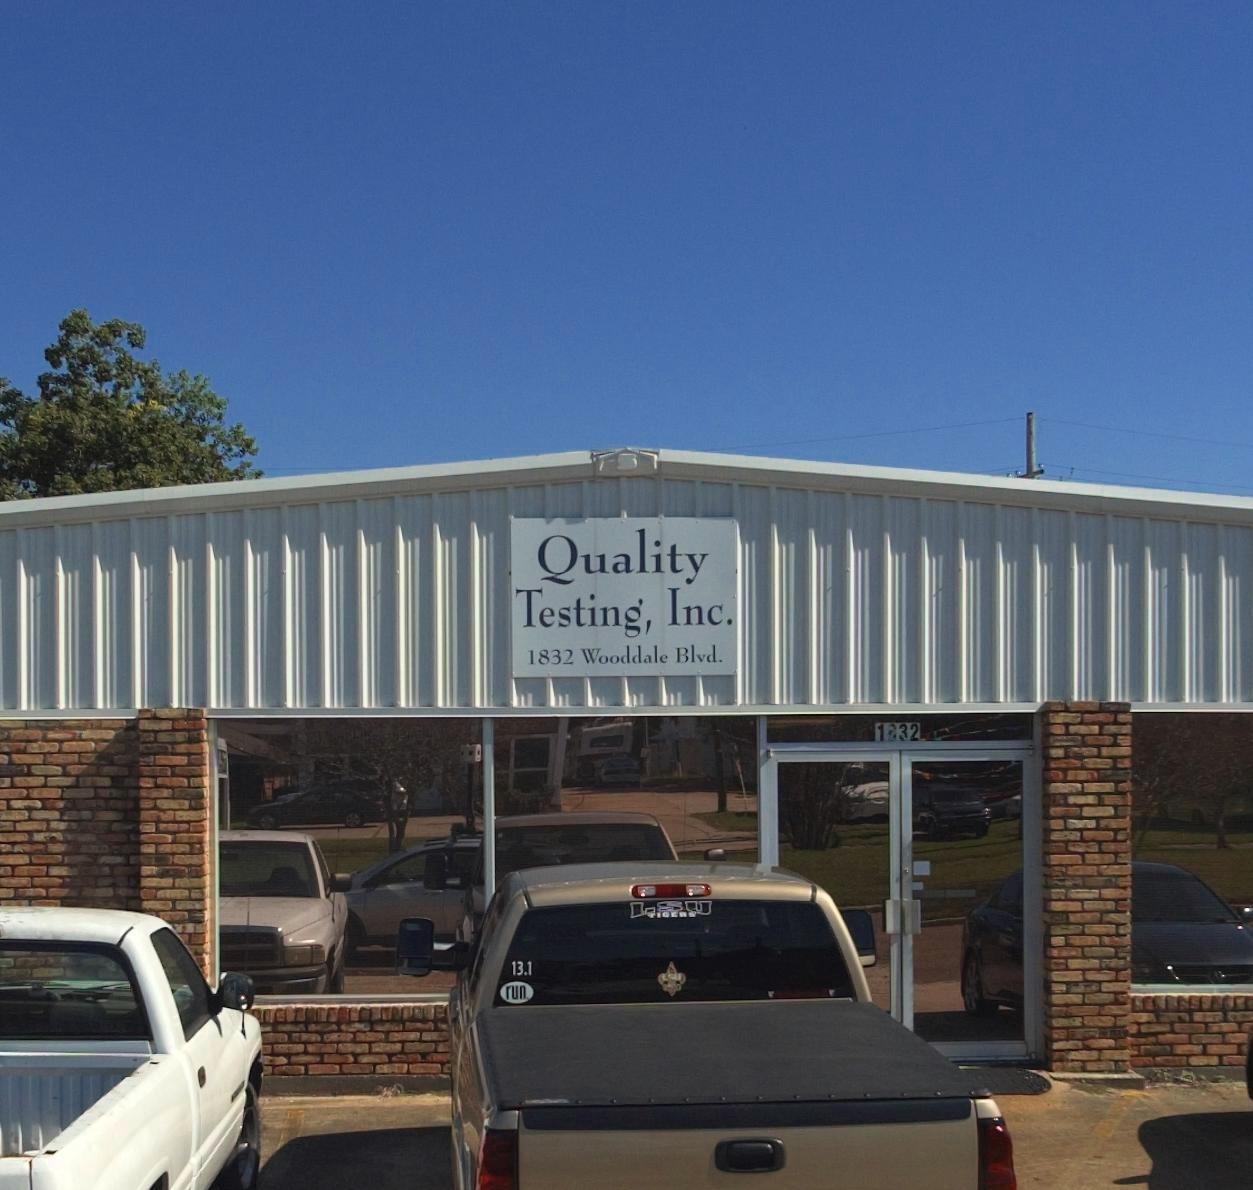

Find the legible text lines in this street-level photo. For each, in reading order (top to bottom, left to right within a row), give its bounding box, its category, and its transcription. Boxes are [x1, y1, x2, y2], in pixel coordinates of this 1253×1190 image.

[535, 524, 712, 588] BusinessName: Quality
[513, 584, 736, 641] BusinessName: Testing, Inc.
[525, 645, 578, 668] StreetNumber: 1832
[576, 641, 725, 667] StreetName: Wooddale Blvd.
[874, 720, 922, 743] StreetNumber: 1*32
[628, 899, 714, 921] None: L*U
[643, 910, 699, 920] None: TIGERS
[509, 958, 534, 978] None: 13.1
[503, 982, 528, 1002] None: run